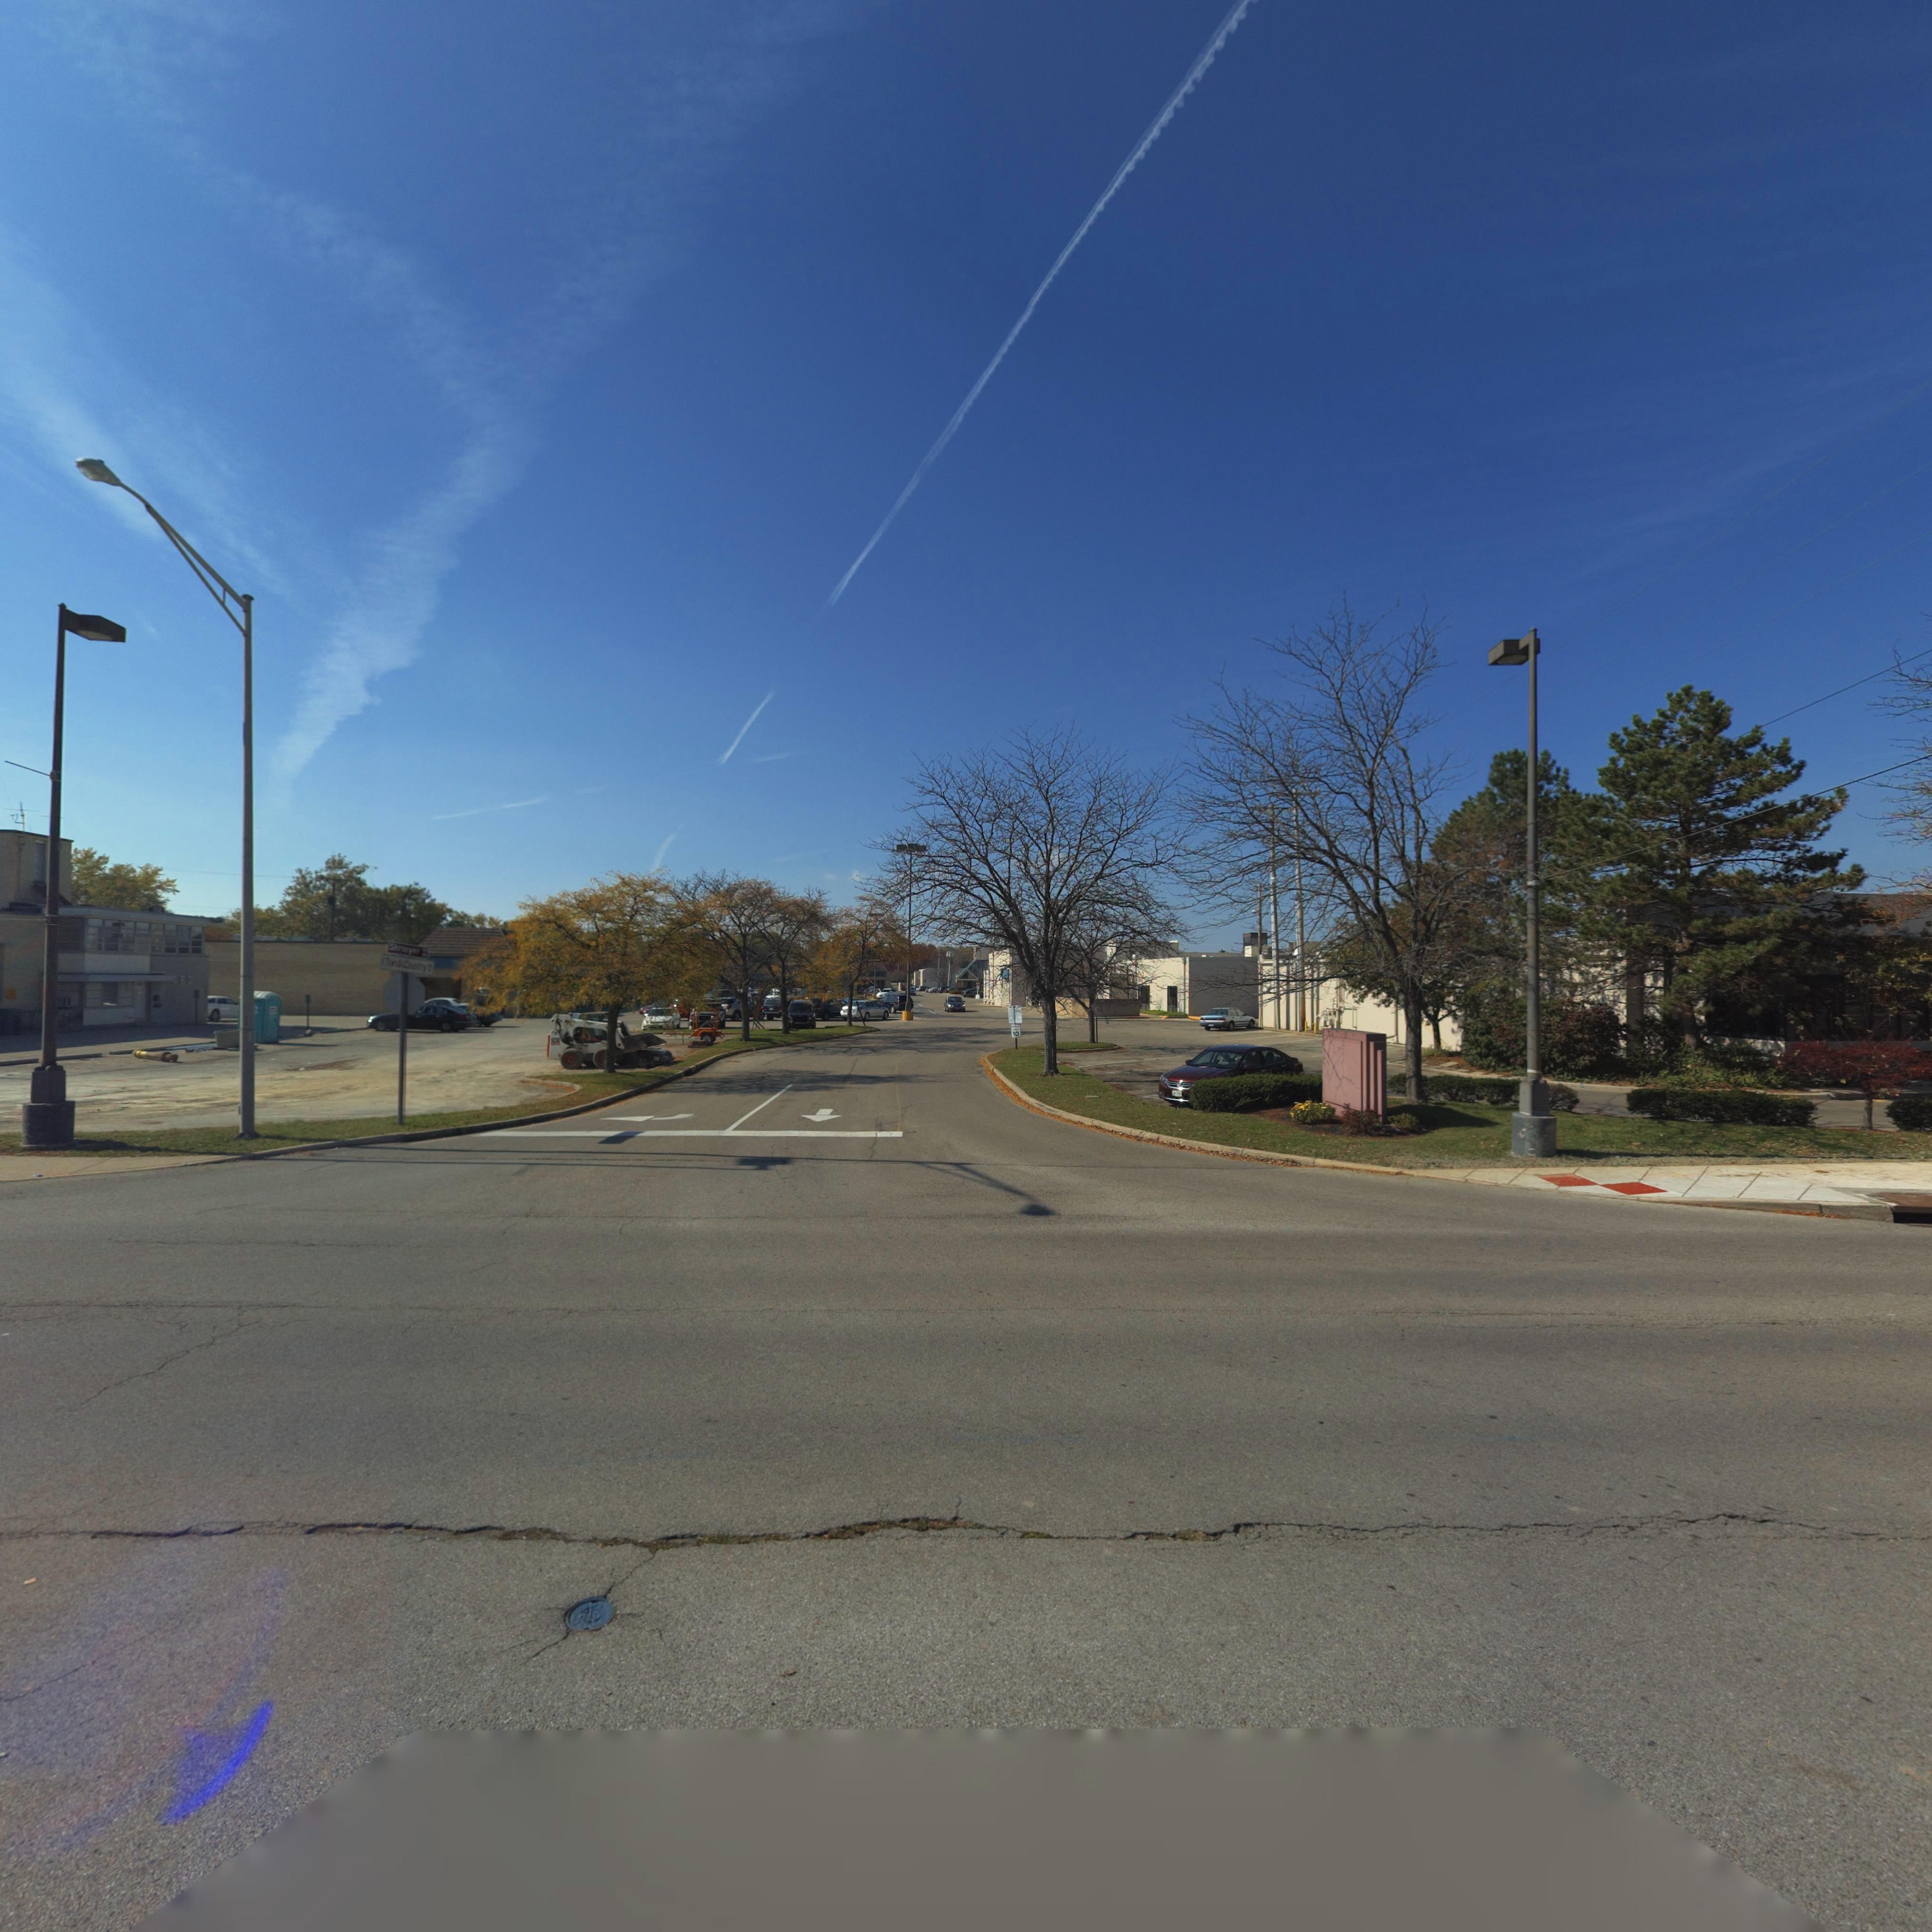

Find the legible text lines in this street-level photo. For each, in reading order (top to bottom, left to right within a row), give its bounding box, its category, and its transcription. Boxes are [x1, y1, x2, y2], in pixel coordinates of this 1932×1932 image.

[388, 943, 421, 956] StreetName: Shr*oyer
[384, 956, 428, 974] StreetName: Town&*Country
[1012, 1031, 1020, 1037] None: 10